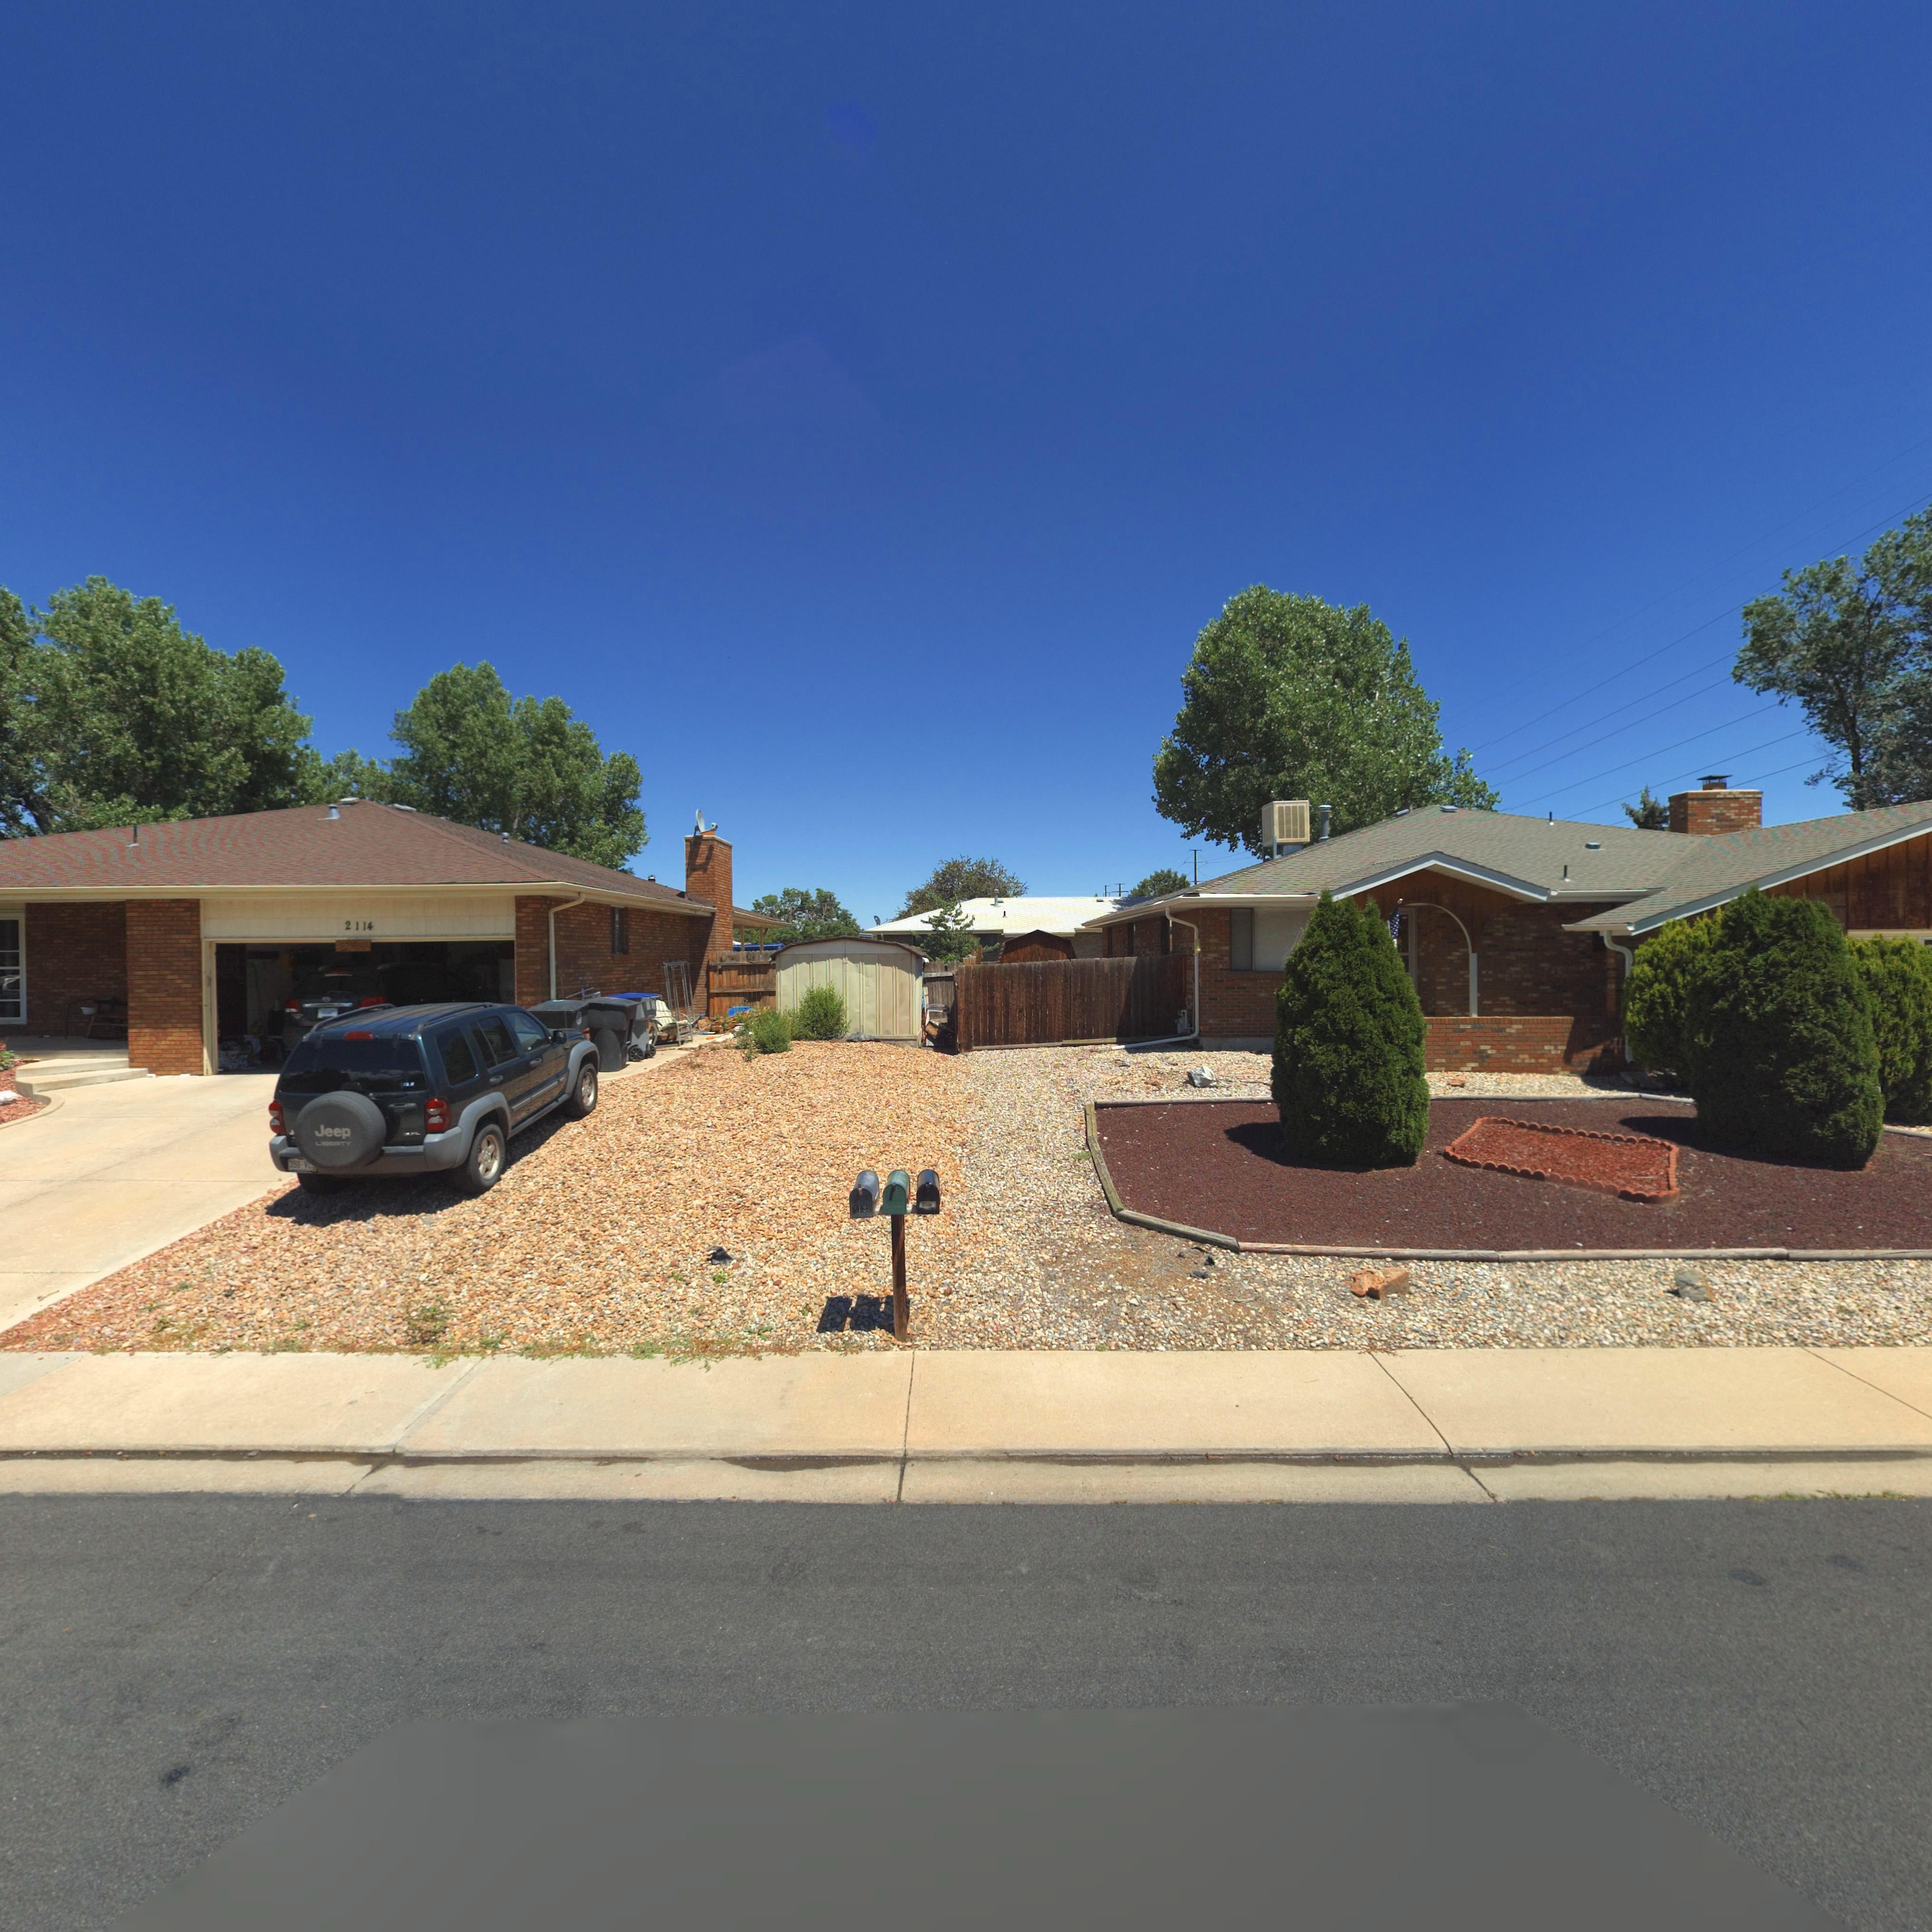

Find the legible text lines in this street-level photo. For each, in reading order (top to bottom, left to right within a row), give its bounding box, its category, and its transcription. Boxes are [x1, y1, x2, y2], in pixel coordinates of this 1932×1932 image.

[345, 920, 373, 930] StreetNumber: 2114
[921, 1201, 933, 1207] StreetNumber: 2106
[852, 1204, 871, 1212] StreetNumber: 2122